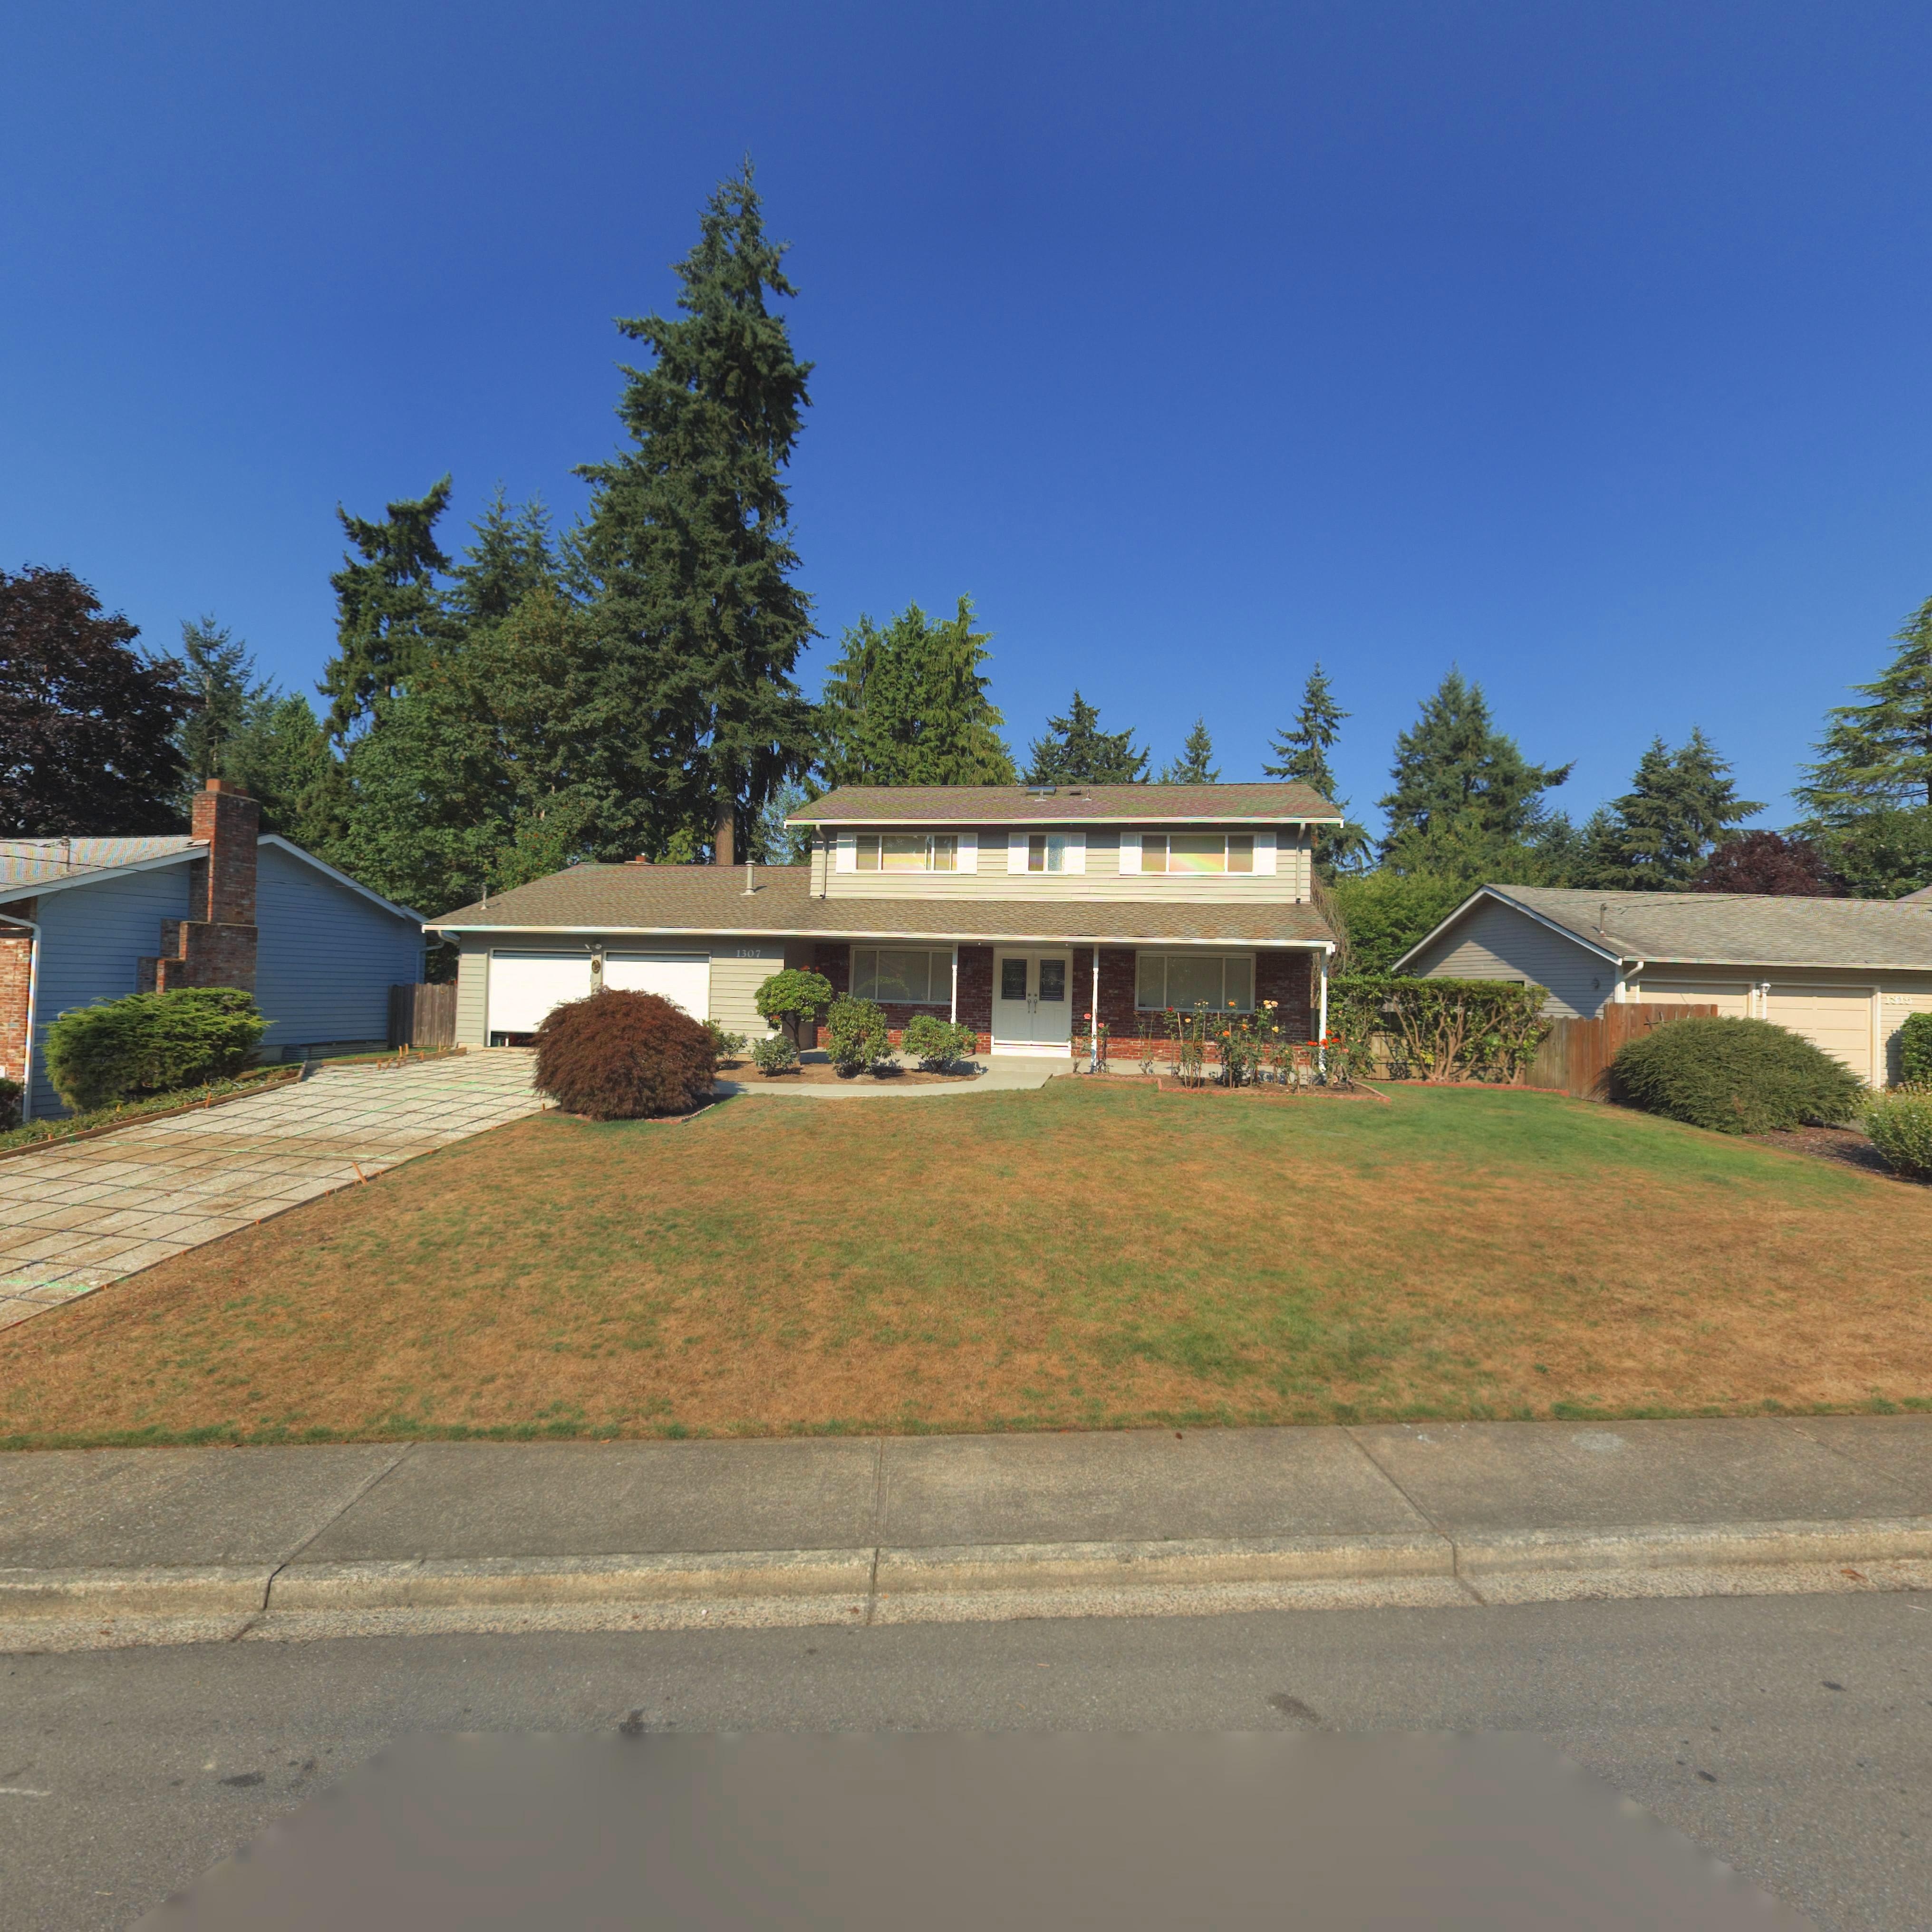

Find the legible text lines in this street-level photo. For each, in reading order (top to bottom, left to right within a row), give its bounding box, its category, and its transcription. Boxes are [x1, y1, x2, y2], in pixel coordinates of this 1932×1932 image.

[735, 949, 761, 957] StreetNumber: 1307